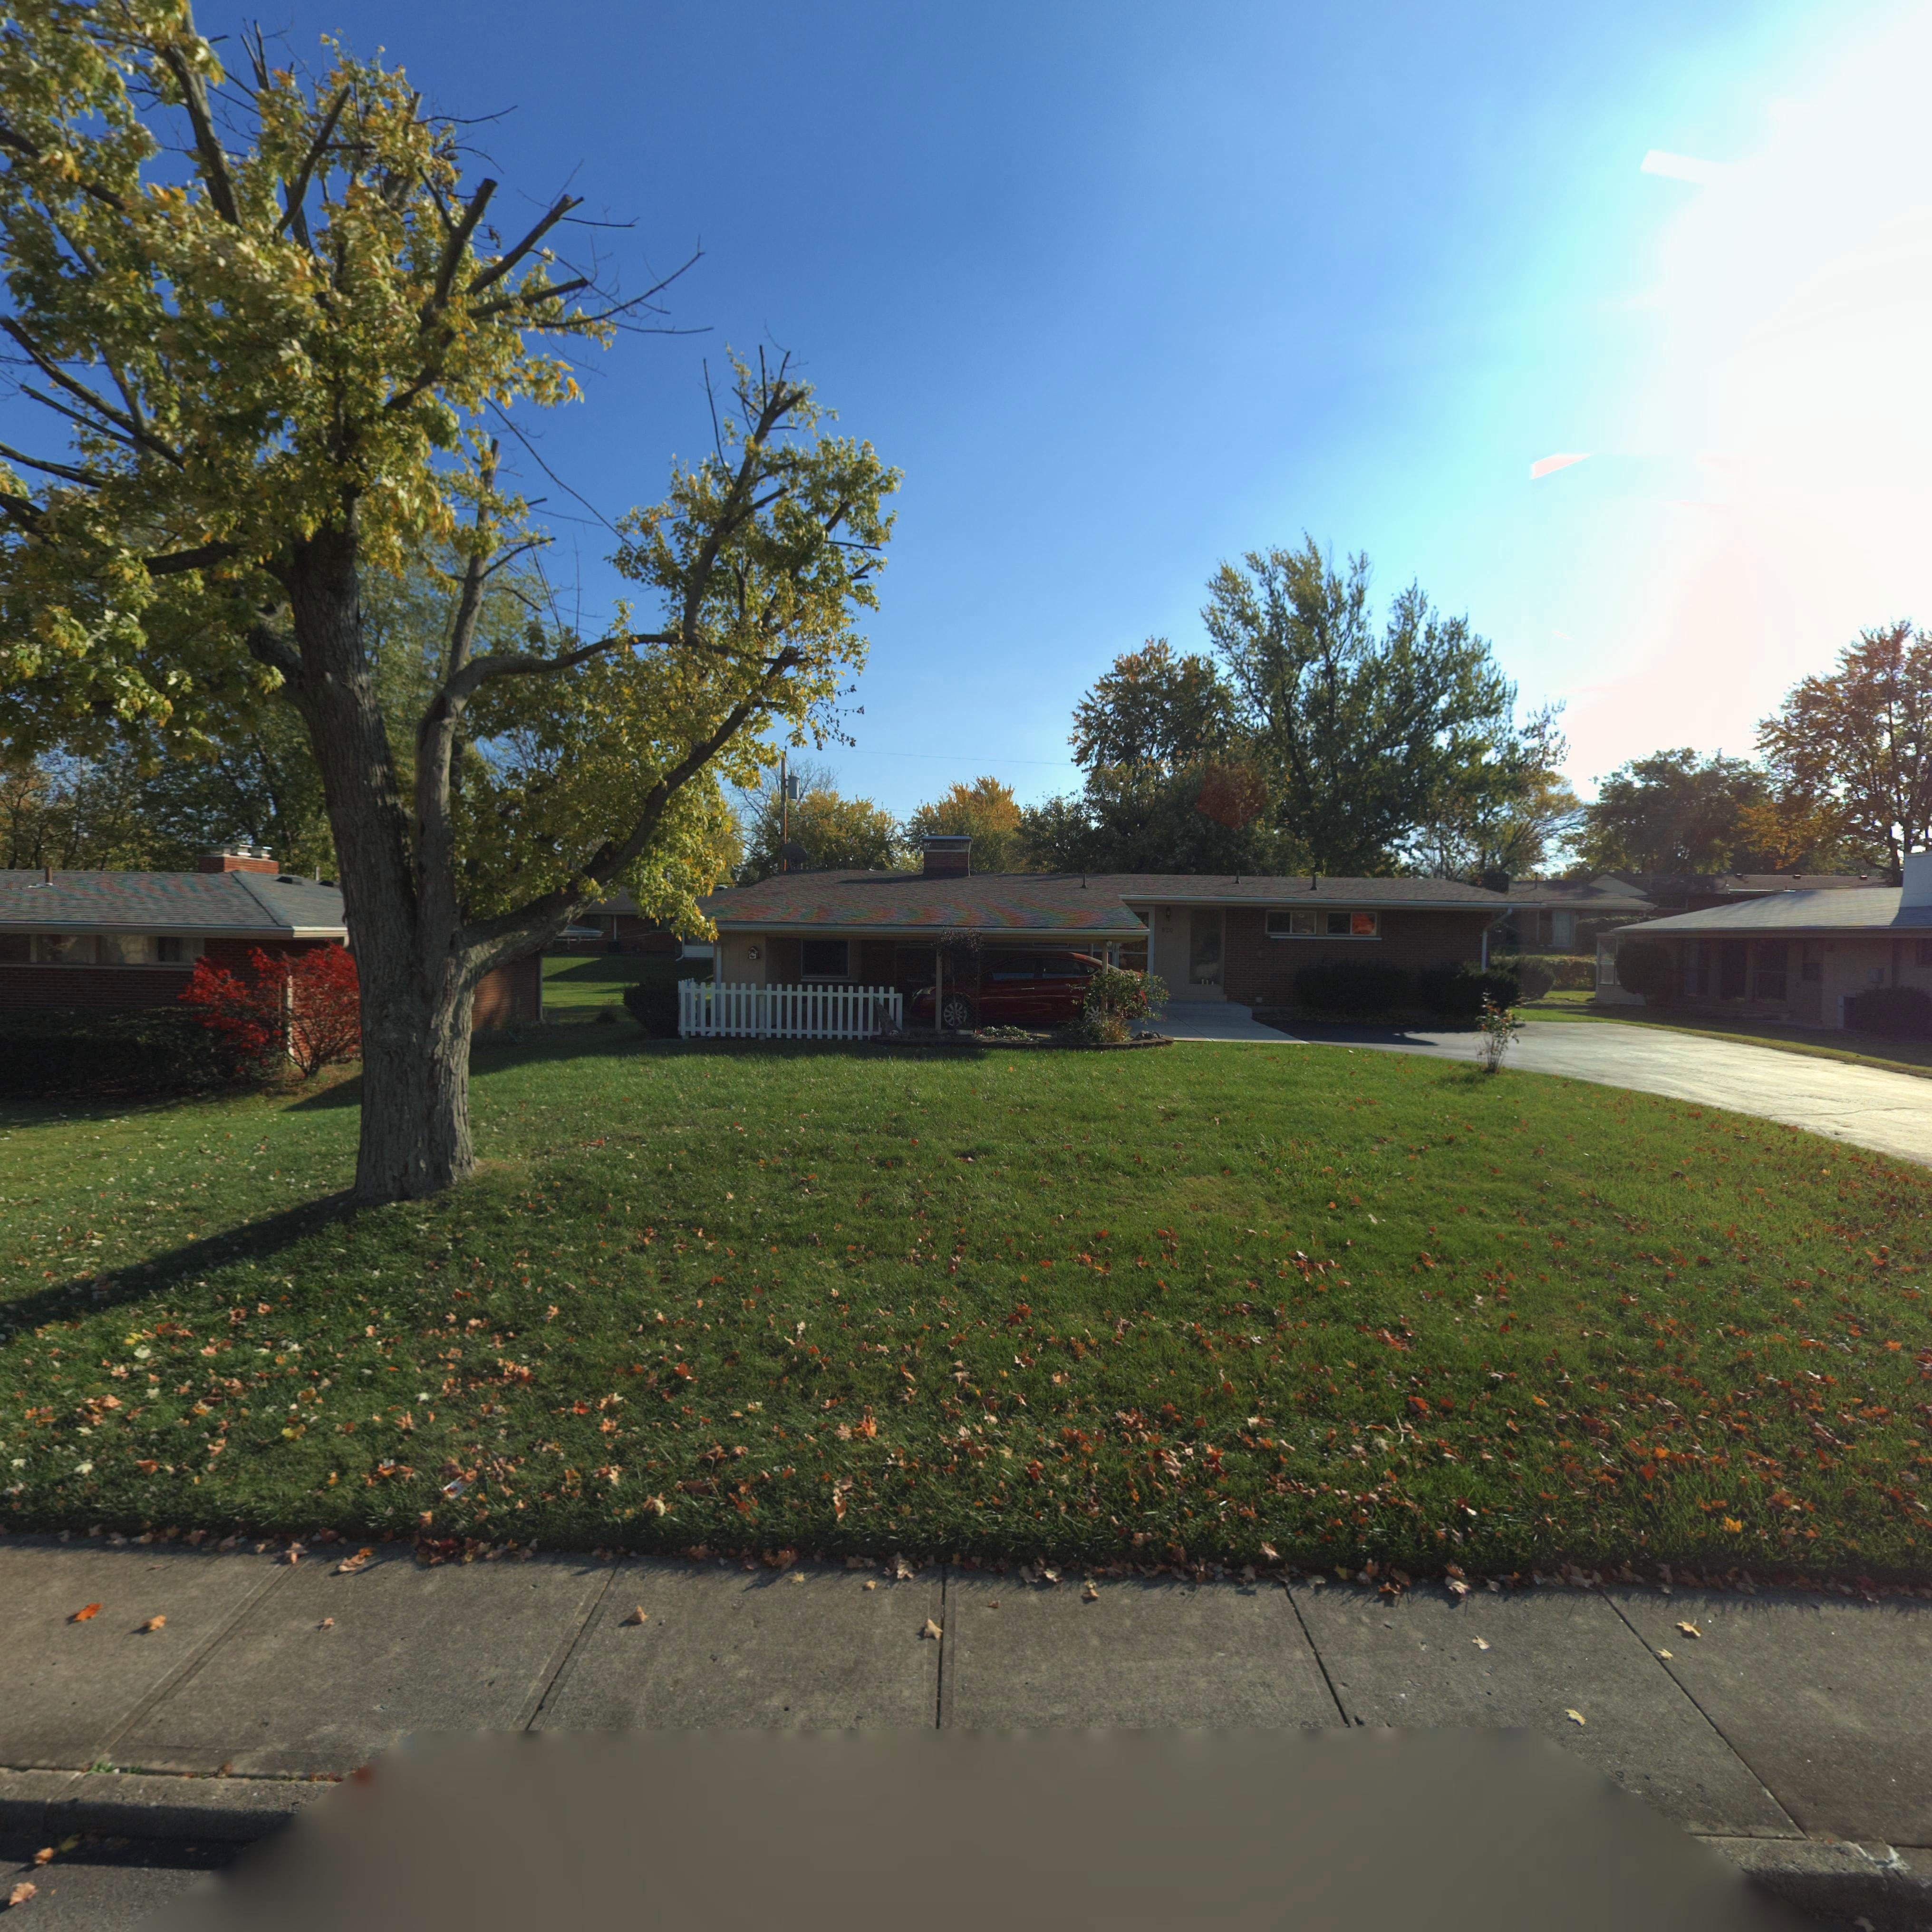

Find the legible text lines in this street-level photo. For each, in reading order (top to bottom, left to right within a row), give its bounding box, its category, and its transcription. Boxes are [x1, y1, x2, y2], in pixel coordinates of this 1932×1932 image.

[1161, 926, 1174, 934] StreetNumber: 820